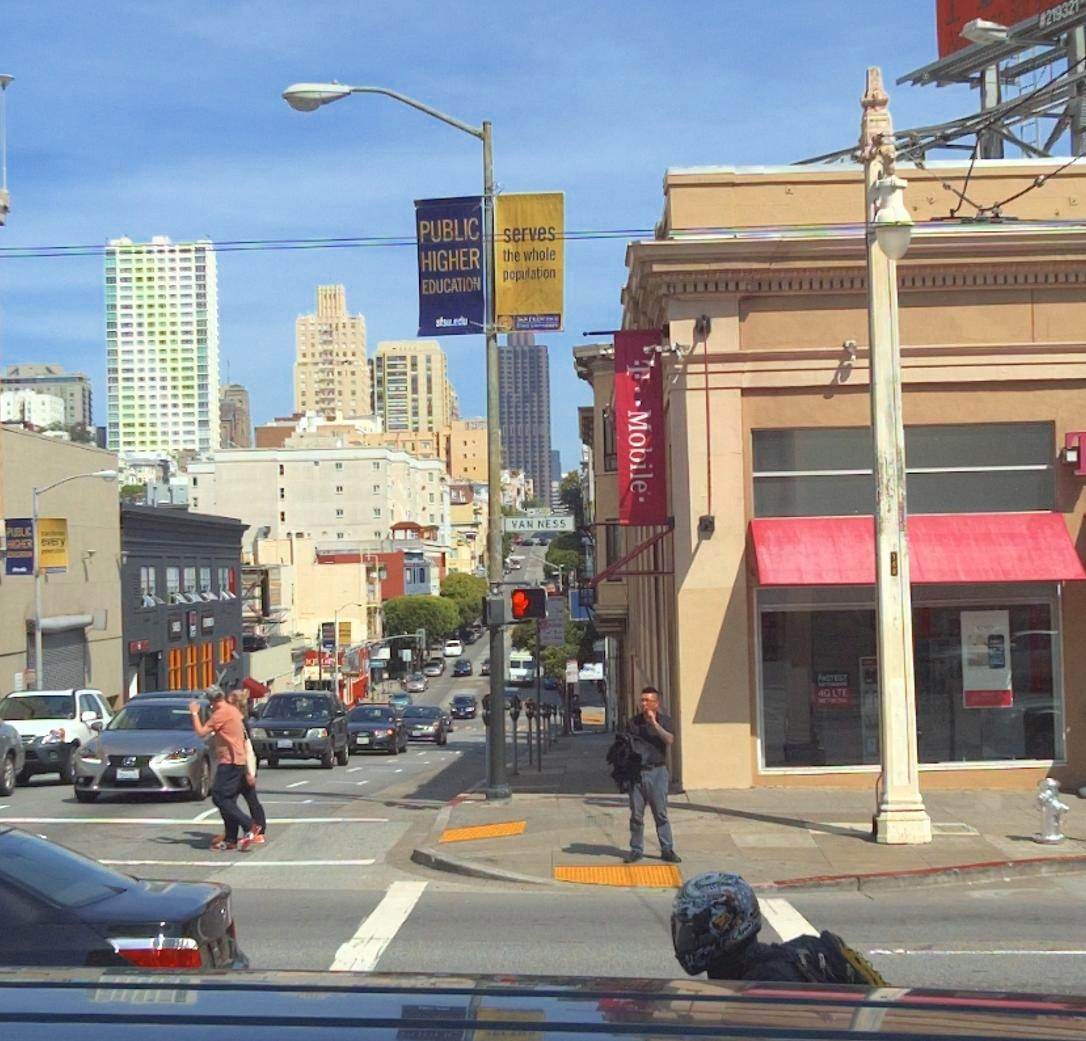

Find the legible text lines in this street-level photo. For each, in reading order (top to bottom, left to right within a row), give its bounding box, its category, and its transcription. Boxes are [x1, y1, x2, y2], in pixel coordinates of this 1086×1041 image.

[1044, 0, 1082, 29] None: 219321
[417, 215, 483, 247] None: PUBLIC
[500, 223, 560, 247] None: serves
[418, 245, 484, 275] None: HIGHER
[499, 244, 560, 265] None: the whole
[419, 274, 484, 297] None: EDUCATION
[500, 264, 558, 286] None: population
[624, 359, 652, 381] BusinessName: T
[625, 406, 657, 496] BusinessName: Mobile
[510, 517, 568, 531] StreetName: Van Ness
[814, 687, 850, 700] None: 4* LT*